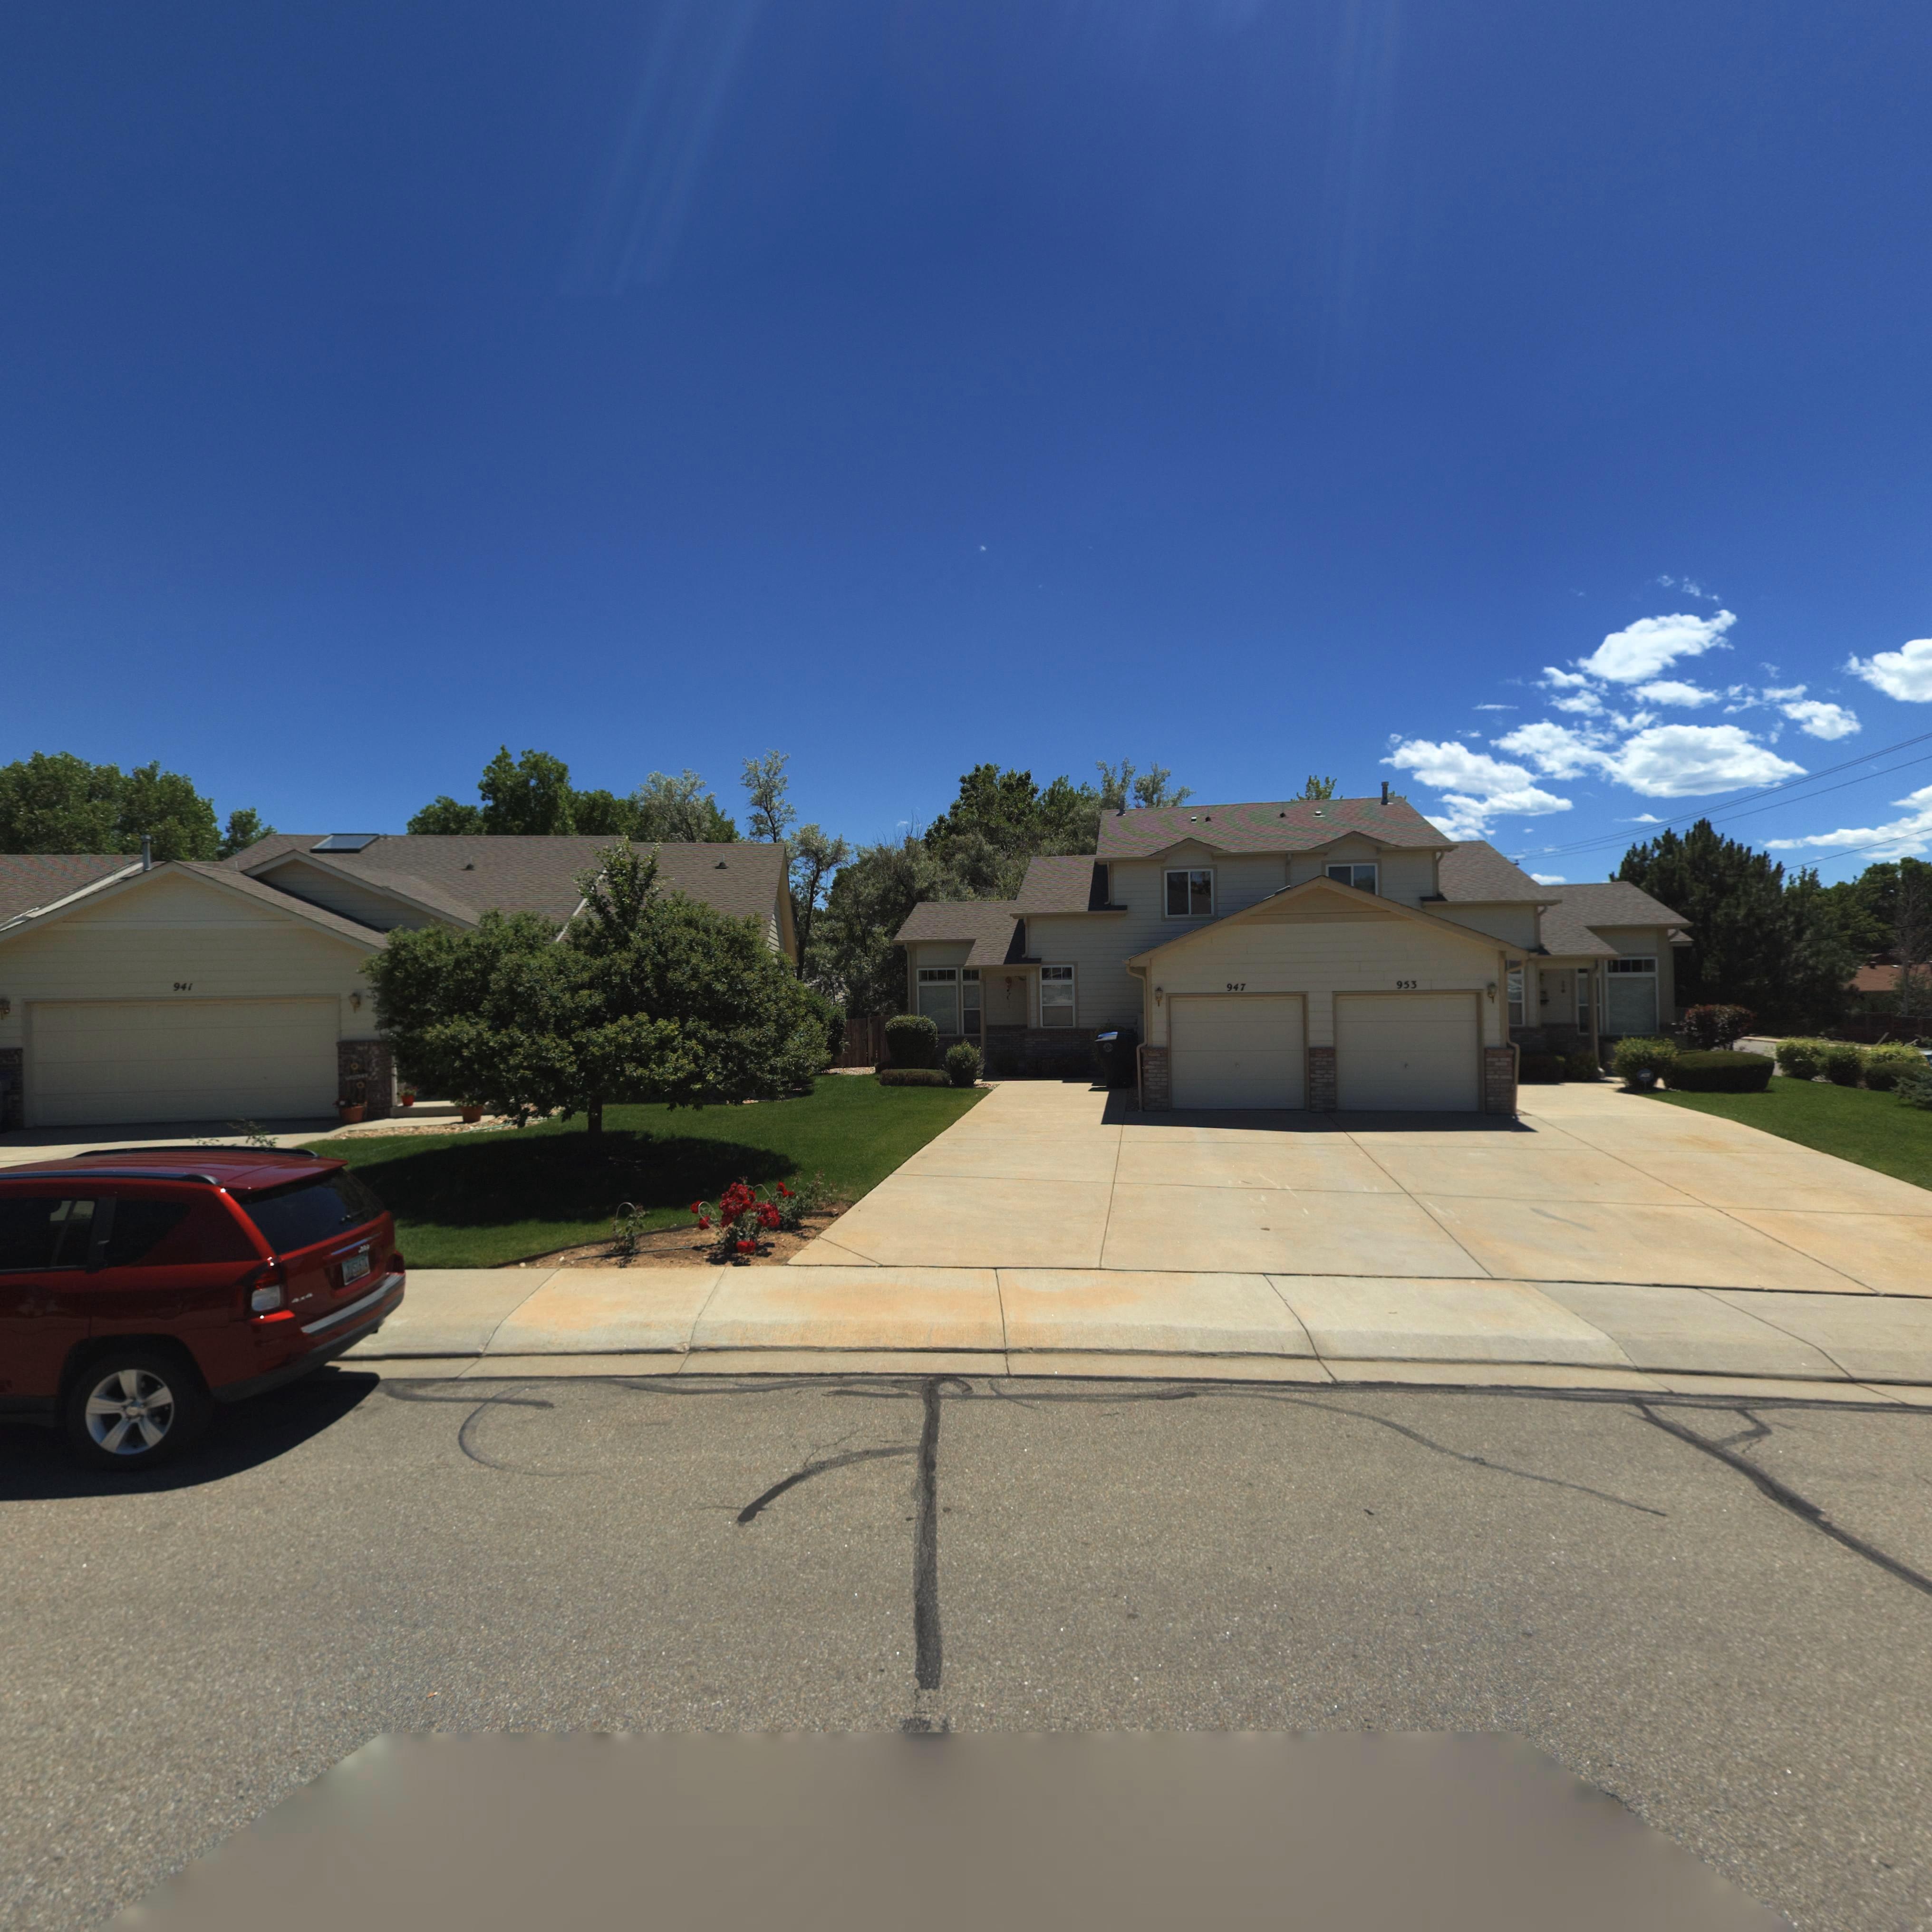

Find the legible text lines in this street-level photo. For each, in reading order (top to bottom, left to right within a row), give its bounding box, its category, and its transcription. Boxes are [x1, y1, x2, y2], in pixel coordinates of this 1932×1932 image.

[172, 982, 193, 992] StreetNumber: 941
[1226, 983, 1246, 992] StreetNumber: 947
[1396, 980, 1417, 989] StreetNumber: 953